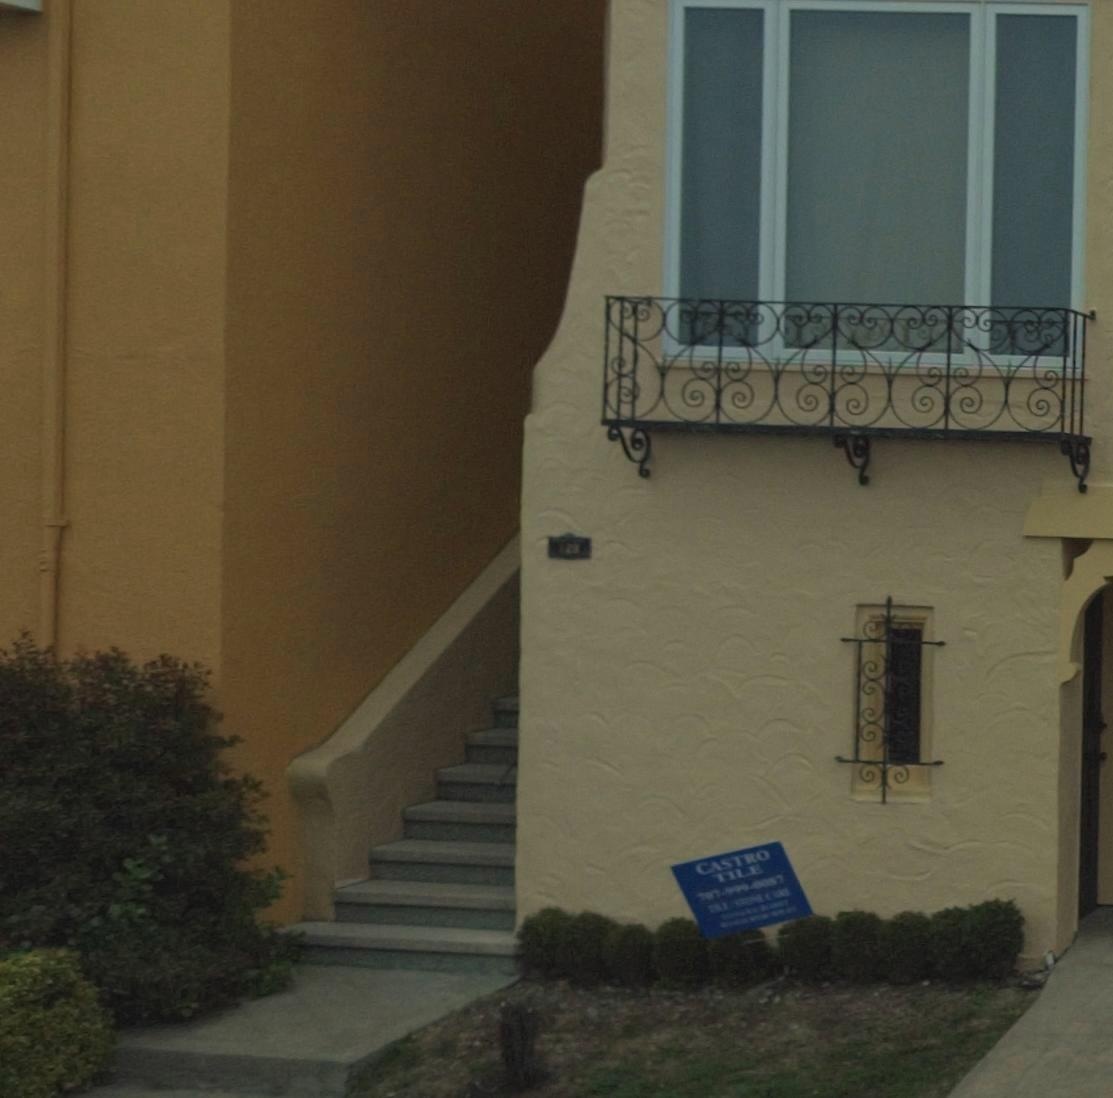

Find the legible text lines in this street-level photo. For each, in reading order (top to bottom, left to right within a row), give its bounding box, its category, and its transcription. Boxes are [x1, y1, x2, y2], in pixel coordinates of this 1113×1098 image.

[557, 542, 582, 555] StreetNumber: 12*
[694, 848, 772, 877] None: CASTRO
[710, 862, 766, 885] None: TILE
[694, 872, 788, 904] None: 707-999-0087